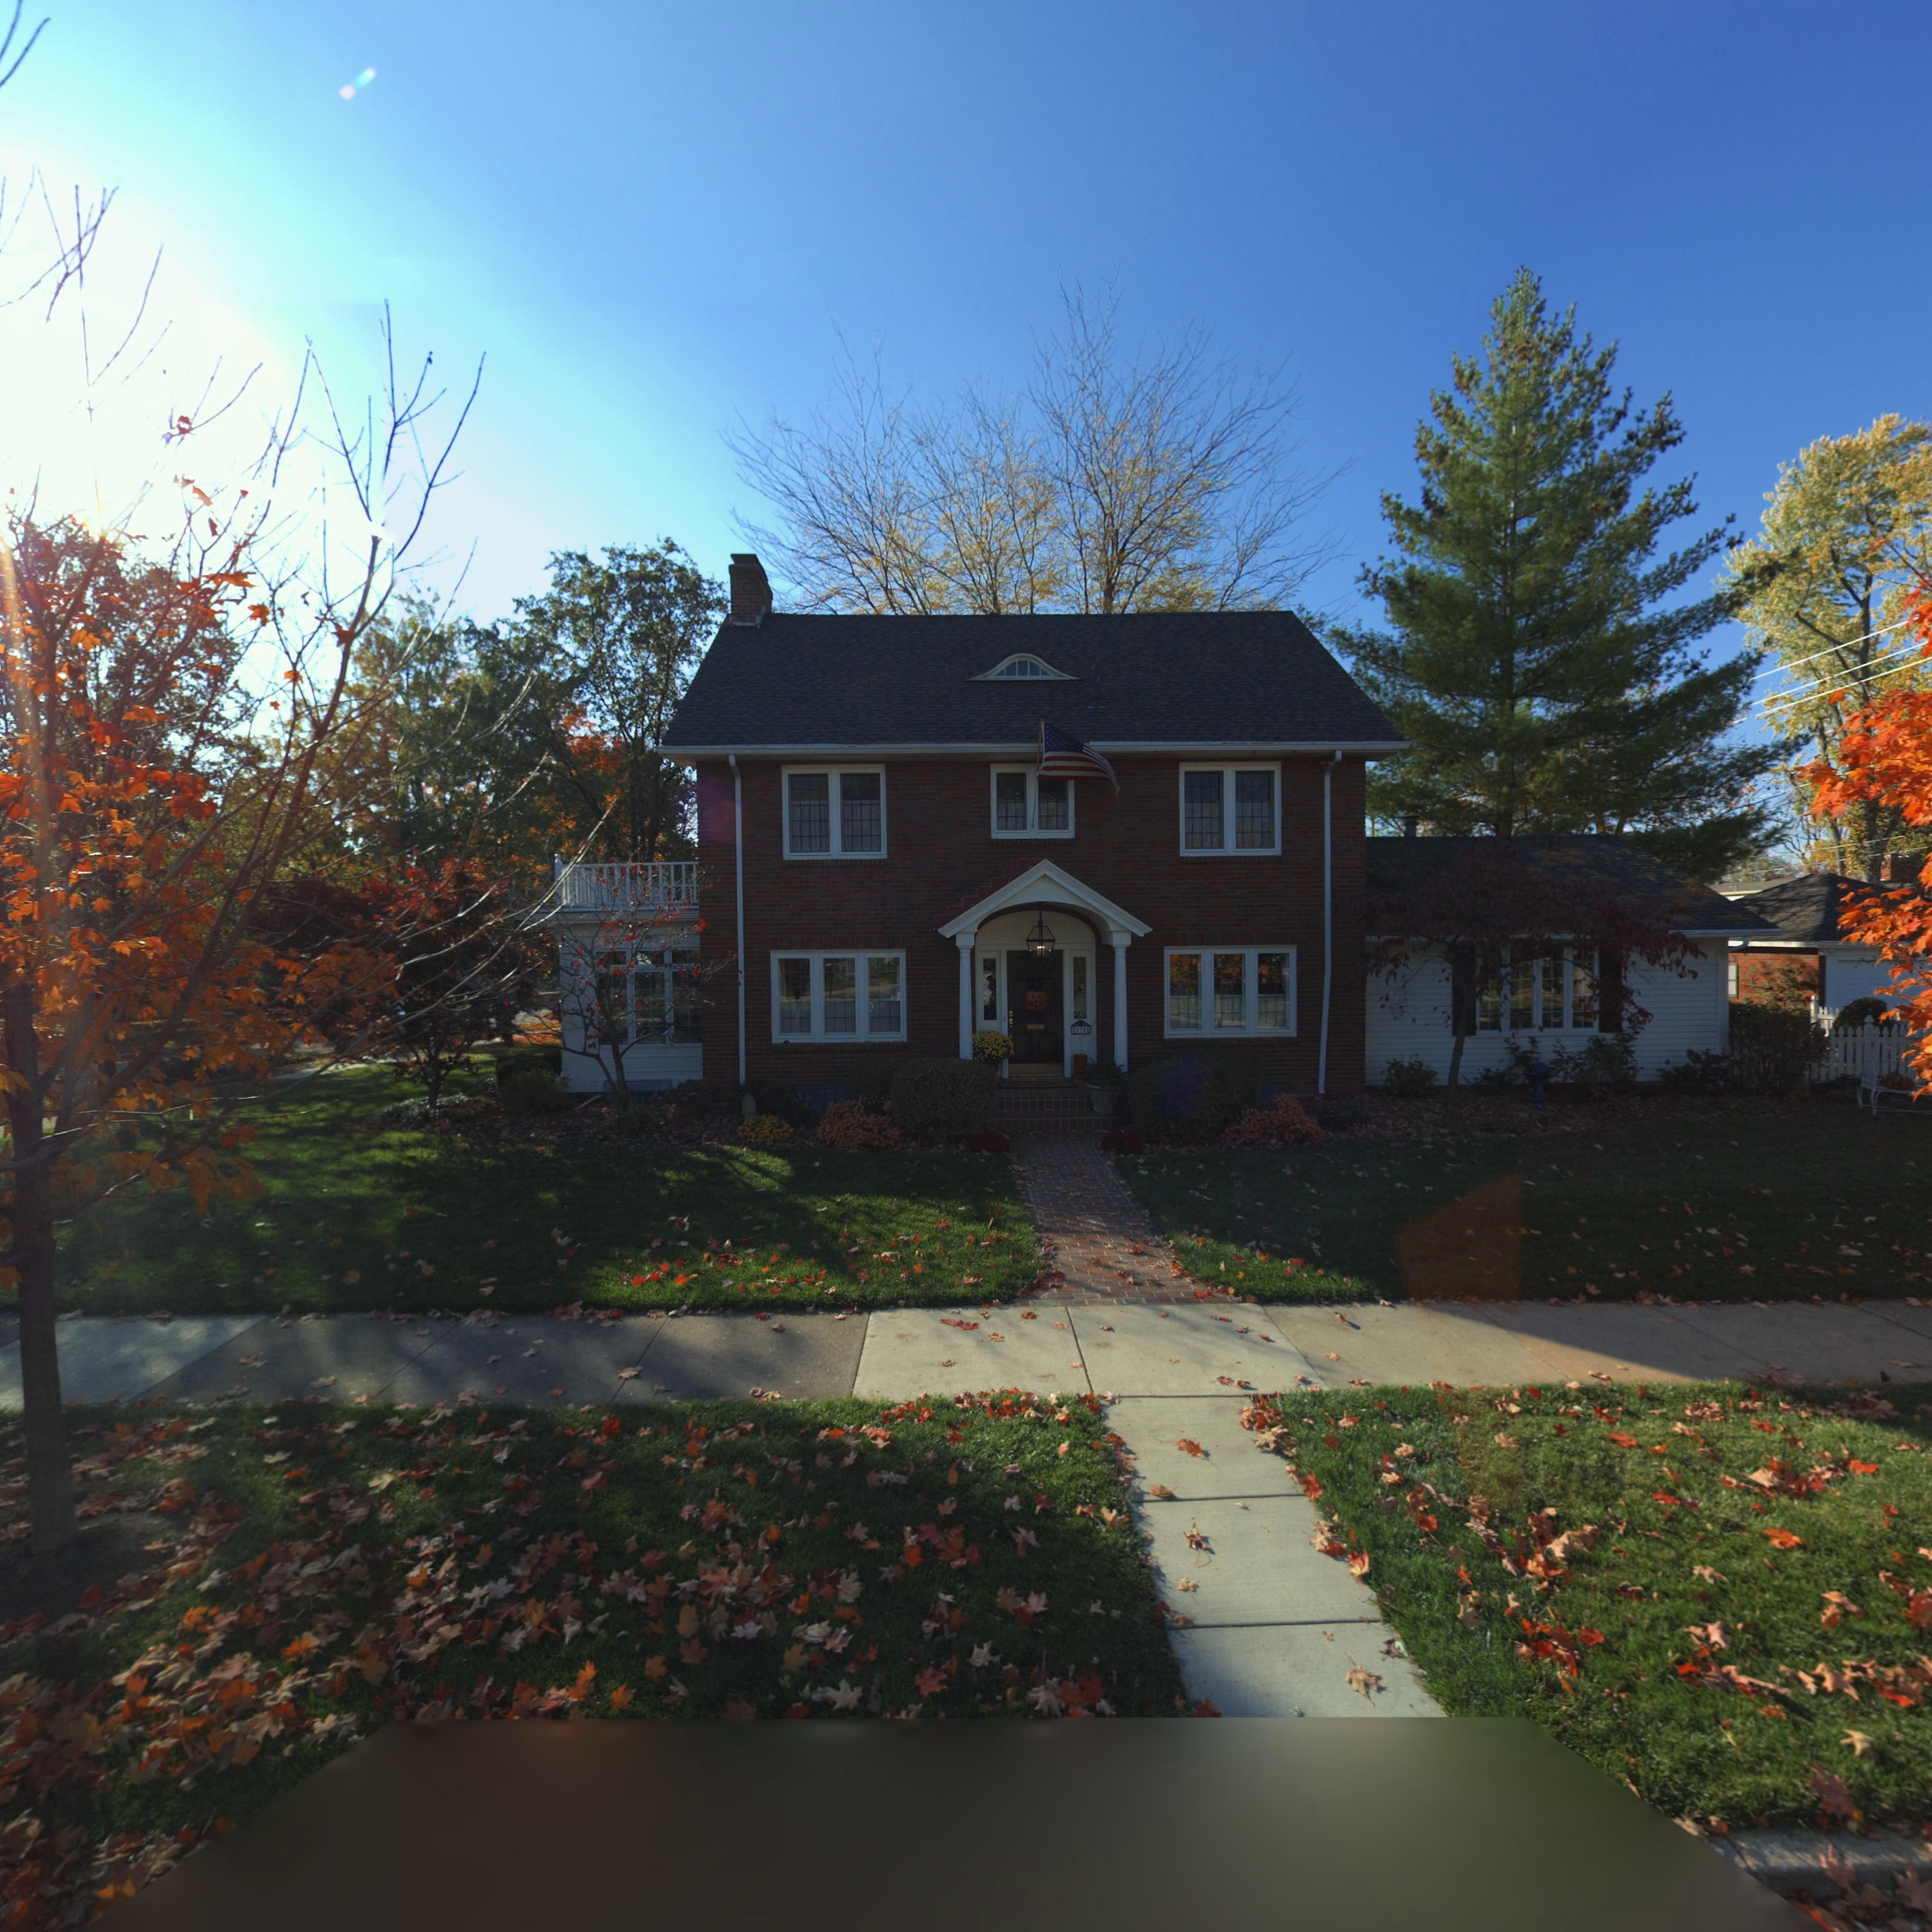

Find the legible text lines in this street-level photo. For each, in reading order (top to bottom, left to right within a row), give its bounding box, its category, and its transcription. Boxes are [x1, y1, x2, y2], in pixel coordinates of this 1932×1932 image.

[1076, 1026, 1088, 1033] StreetNumber: 1321